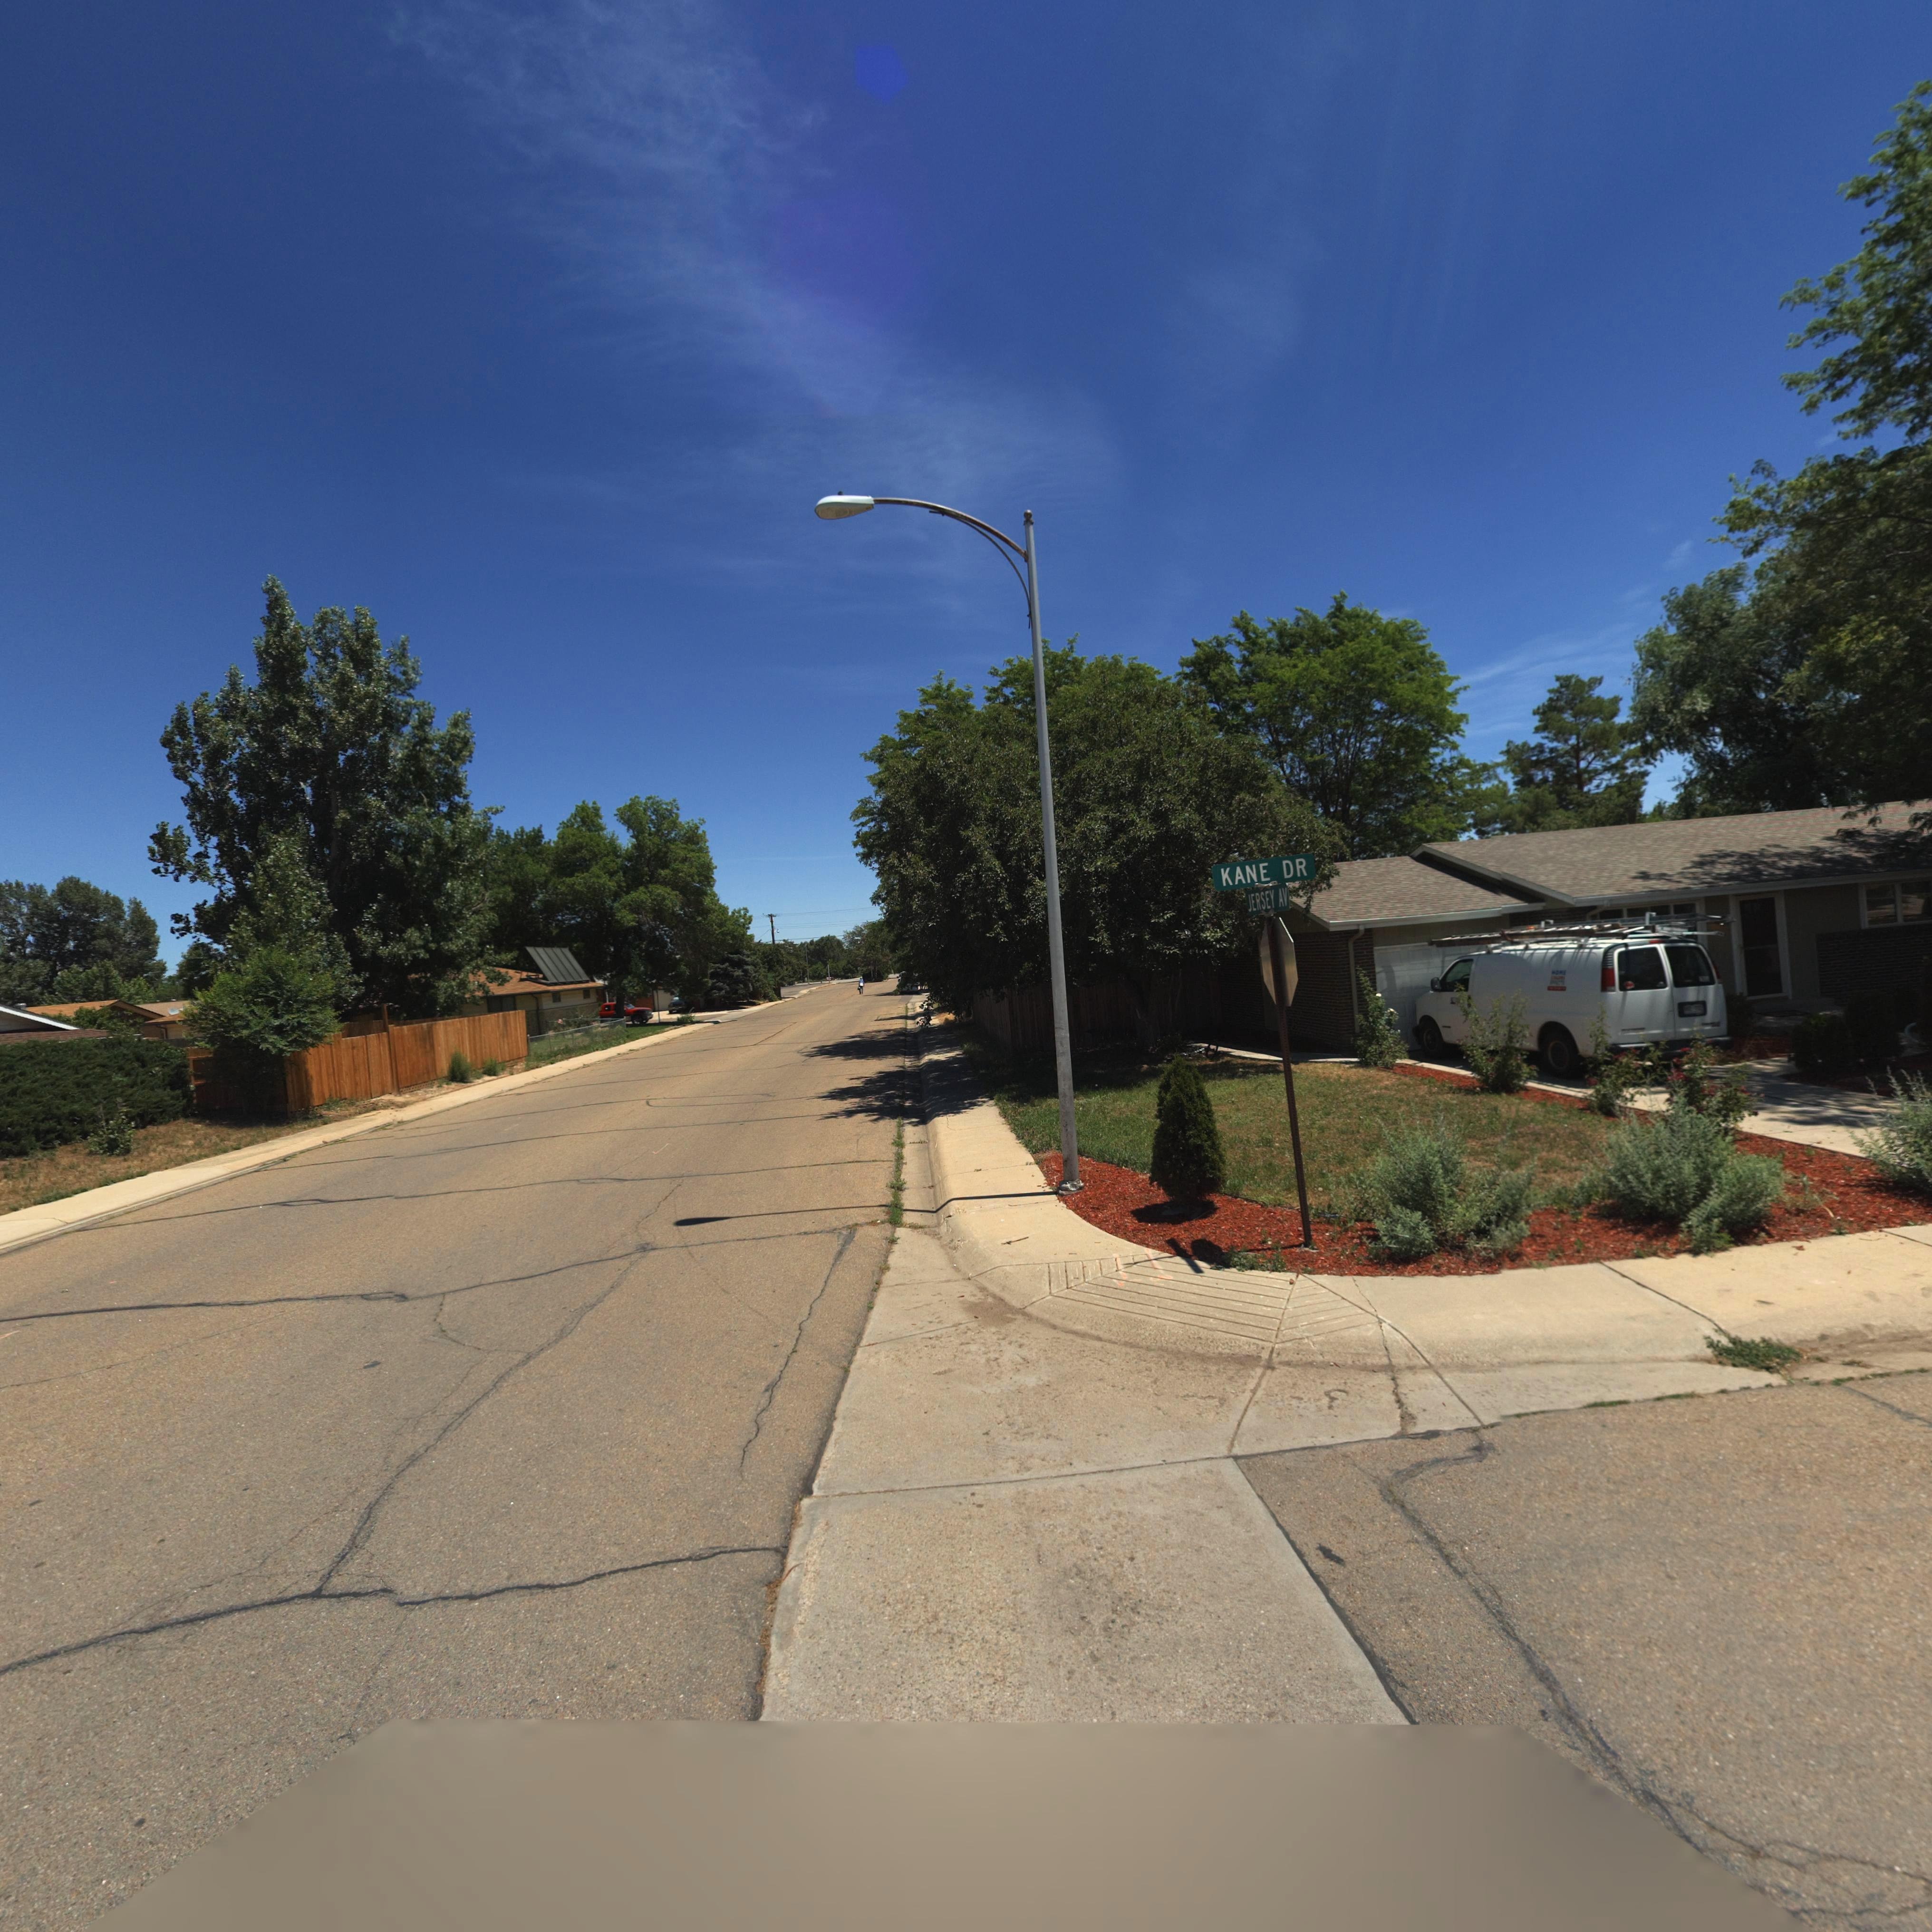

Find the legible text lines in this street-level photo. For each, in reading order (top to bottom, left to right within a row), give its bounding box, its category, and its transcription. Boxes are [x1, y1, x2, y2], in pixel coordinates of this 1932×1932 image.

[1219, 857, 1308, 887] StreetName: KANE DR
[1247, 886, 1287, 912] StreetName: JERSEY AV